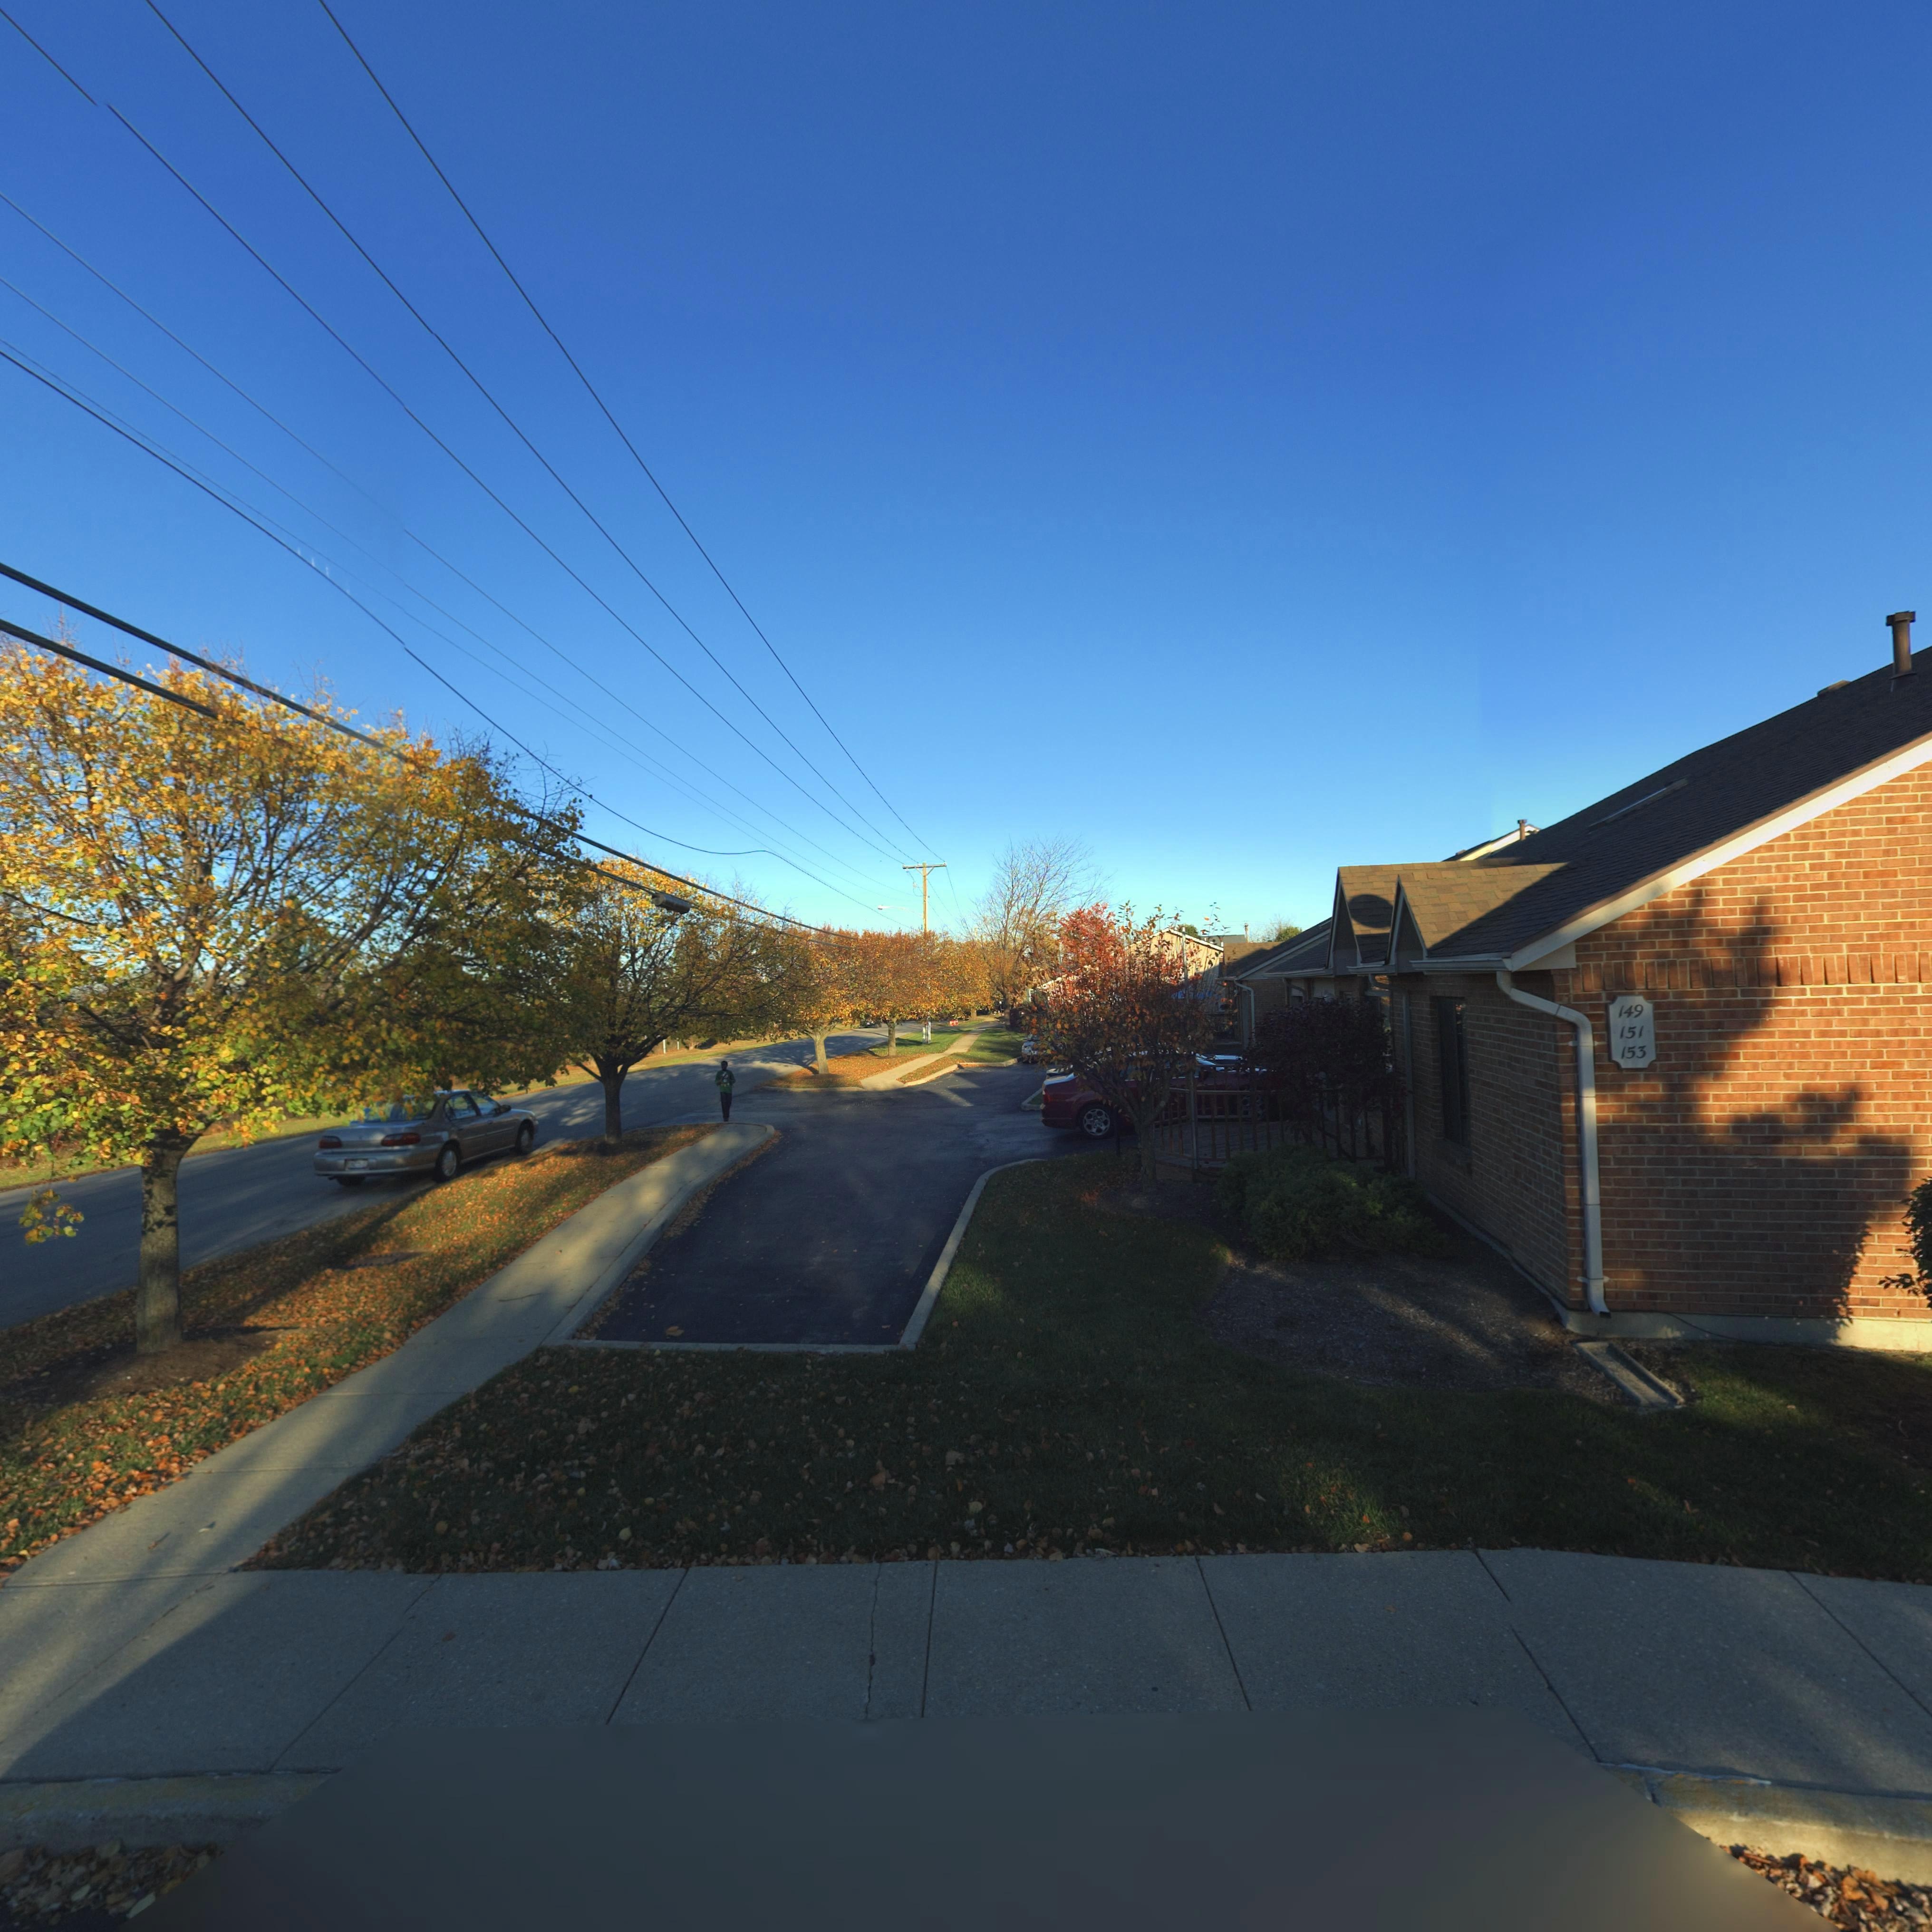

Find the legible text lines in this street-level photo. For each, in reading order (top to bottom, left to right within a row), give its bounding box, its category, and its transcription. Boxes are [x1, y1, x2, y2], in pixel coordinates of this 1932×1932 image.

[1617, 1003, 1645, 1021] StreetNumber: 149
[1619, 1024, 1645, 1041] StreetNumber: 151
[1621, 1043, 1648, 1060] StreetNumber: 153